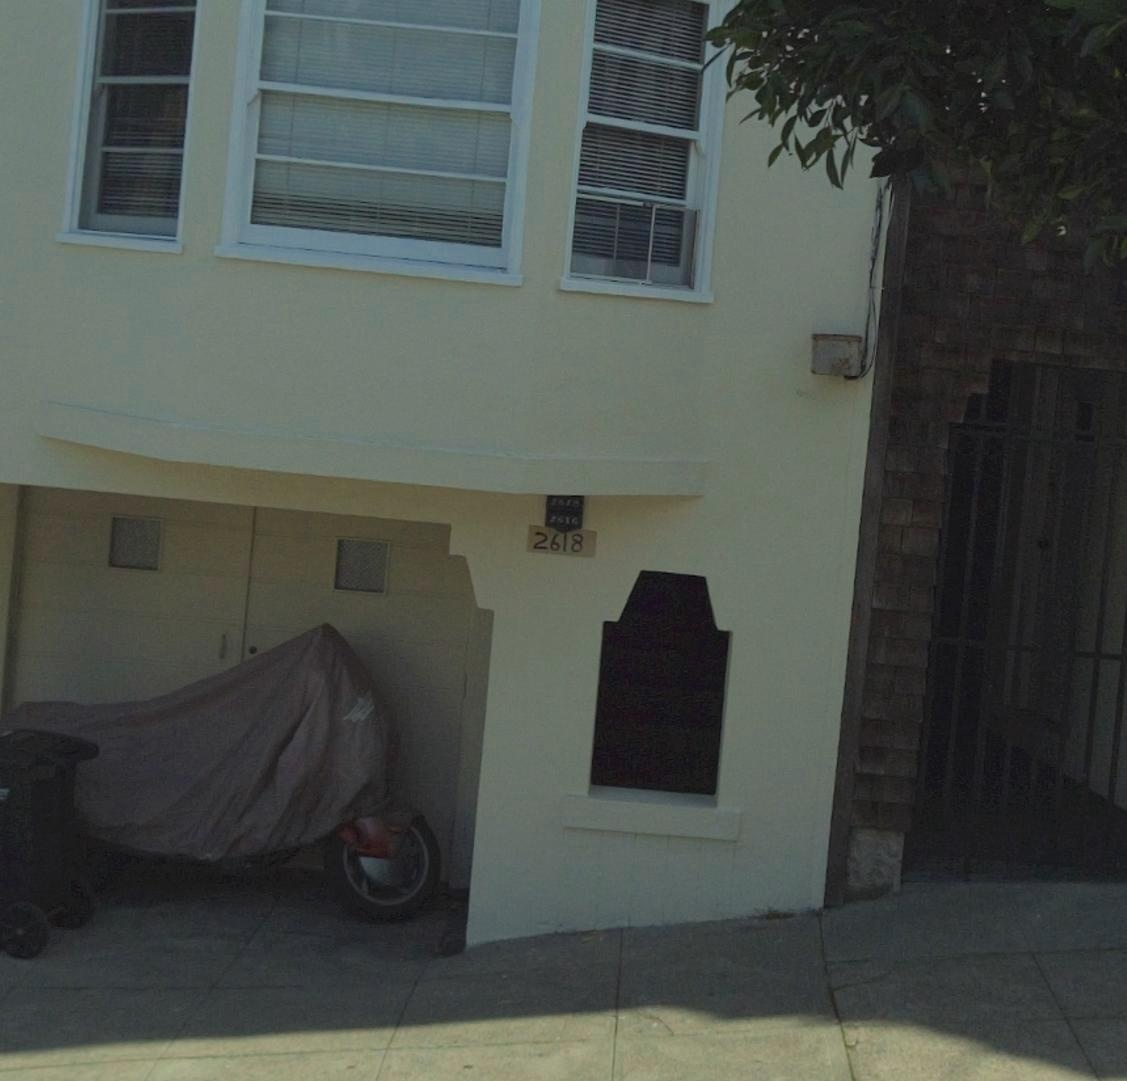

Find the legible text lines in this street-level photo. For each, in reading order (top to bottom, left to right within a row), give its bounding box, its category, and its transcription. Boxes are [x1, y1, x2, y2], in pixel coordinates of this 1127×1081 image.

[548, 498, 581, 509] StreetNumber: 2618
[547, 514, 580, 526] StreetNumber: 2616
[531, 530, 586, 554] StreetNumber: 2618